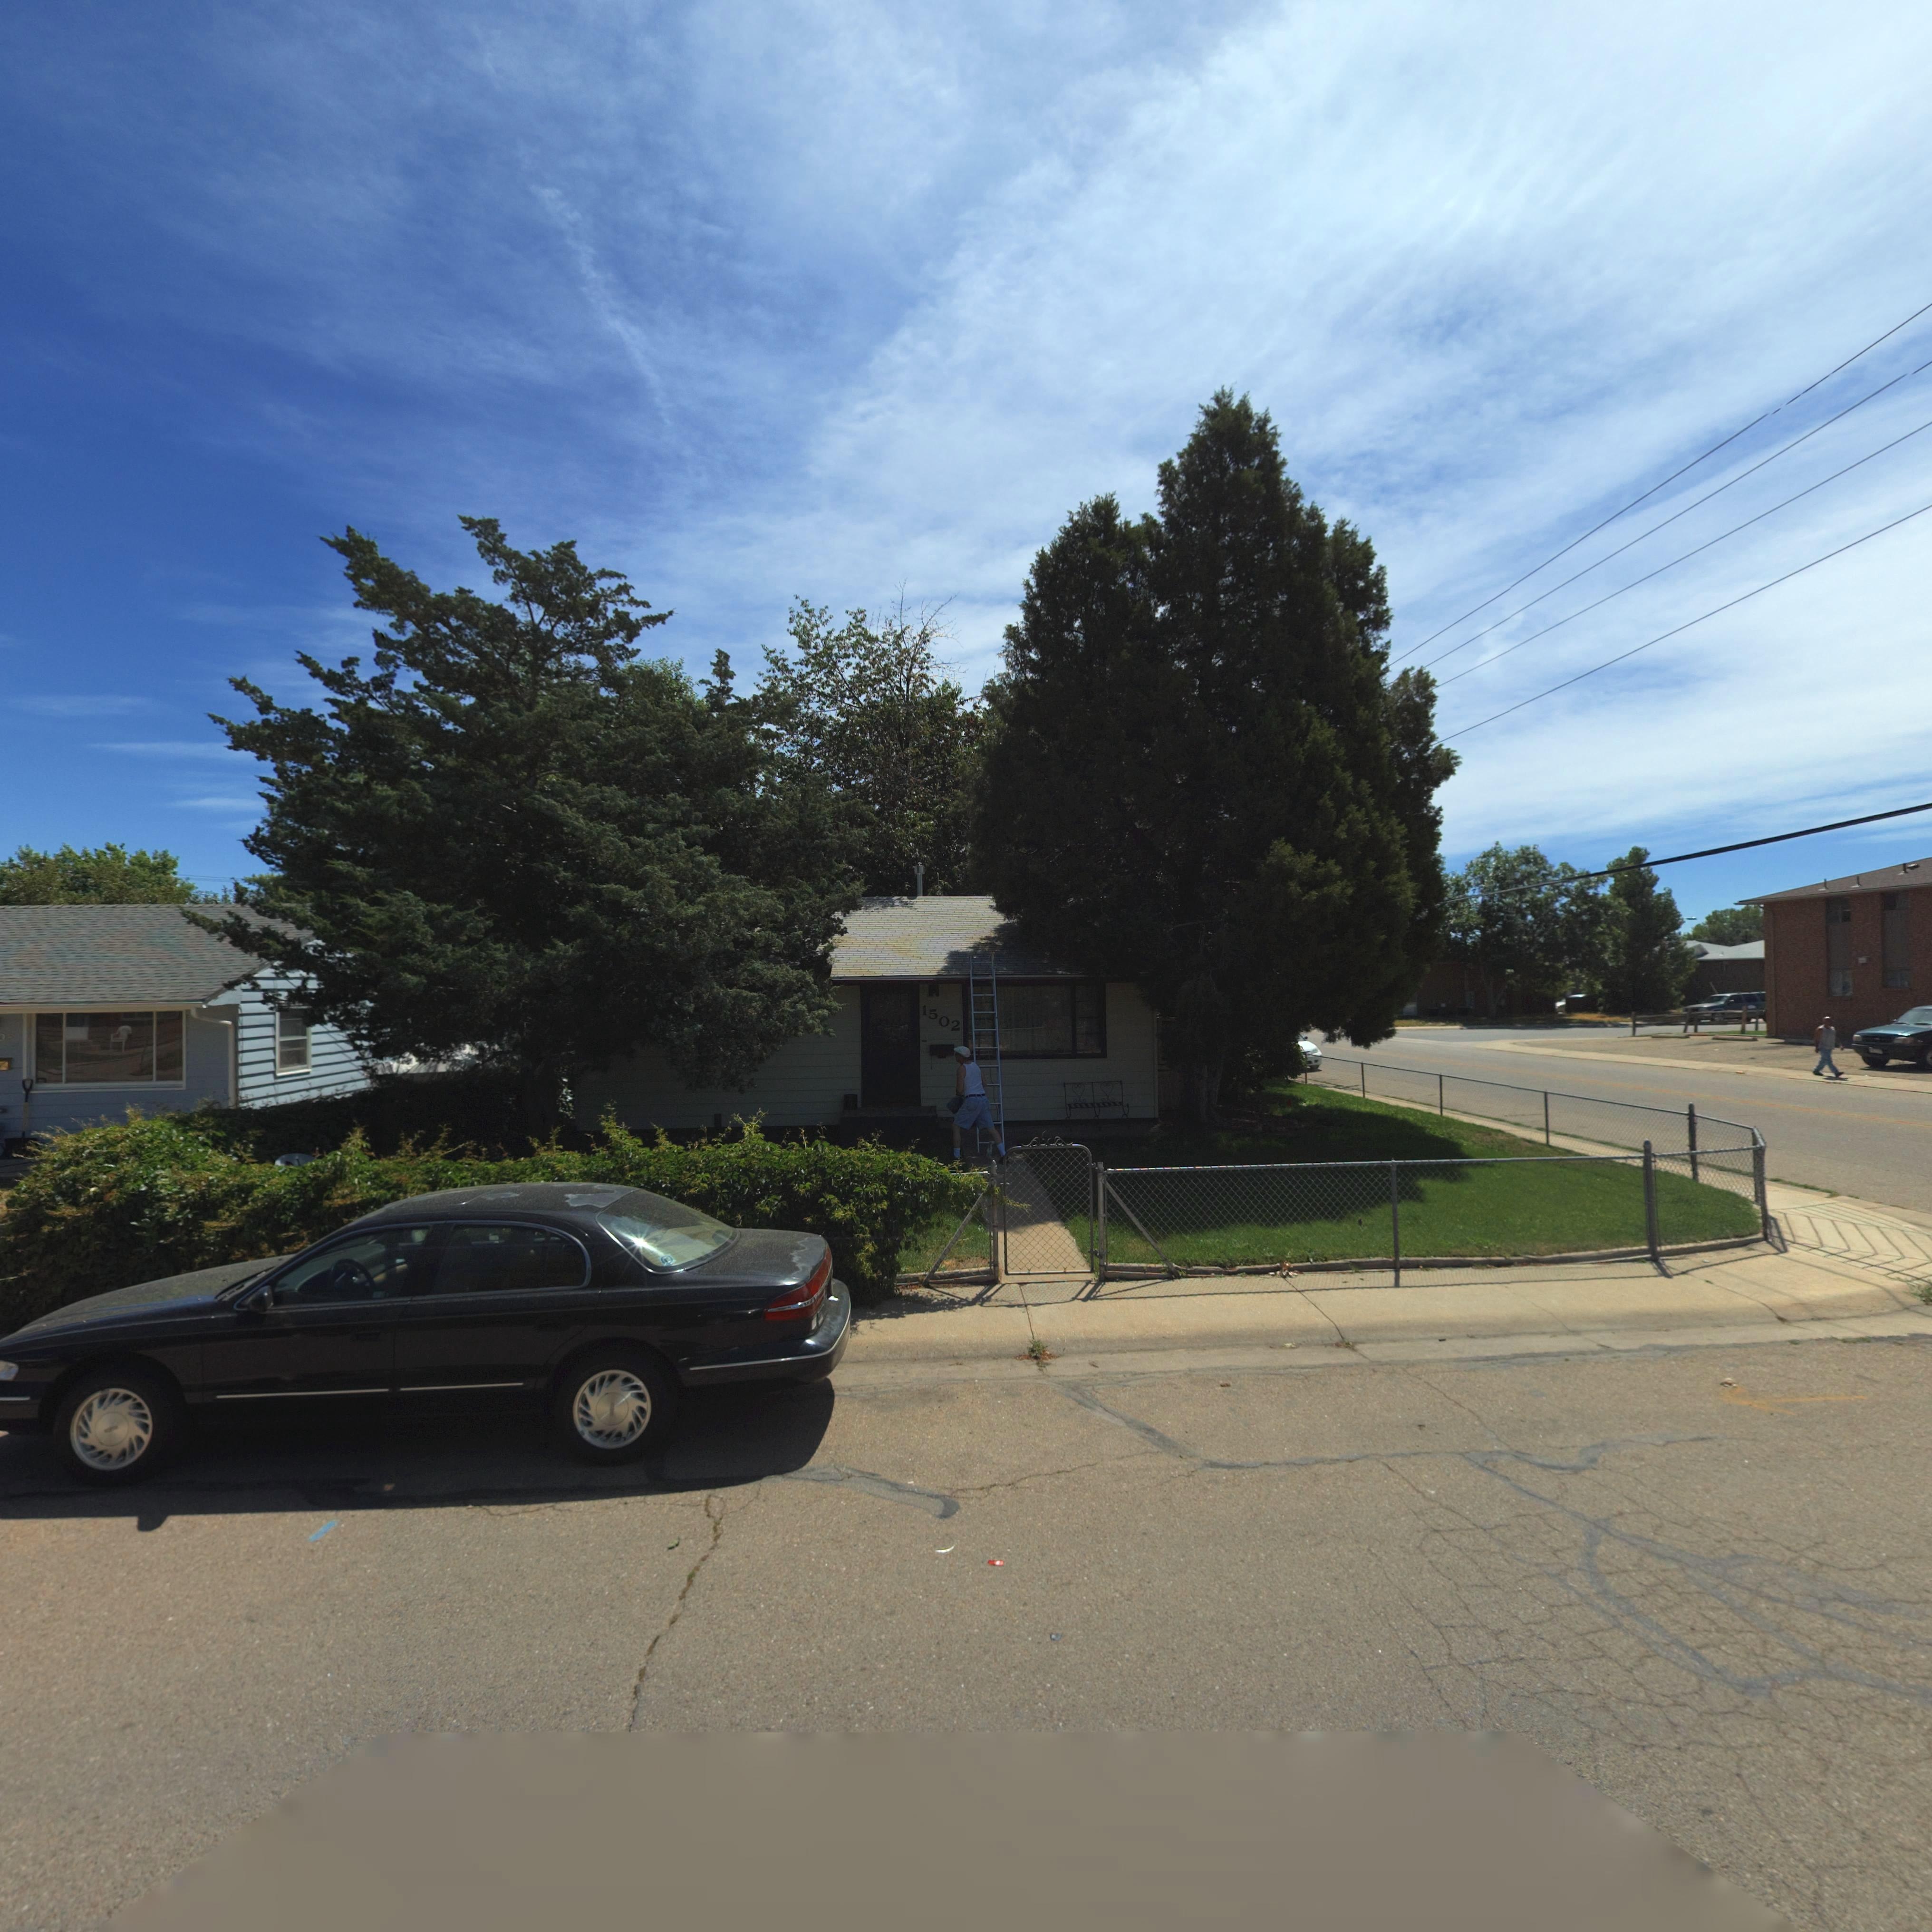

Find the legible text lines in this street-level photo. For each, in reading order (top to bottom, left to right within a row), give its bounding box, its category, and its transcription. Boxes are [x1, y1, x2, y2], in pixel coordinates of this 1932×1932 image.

[921, 1002, 961, 1032] StreetNumber: 1502